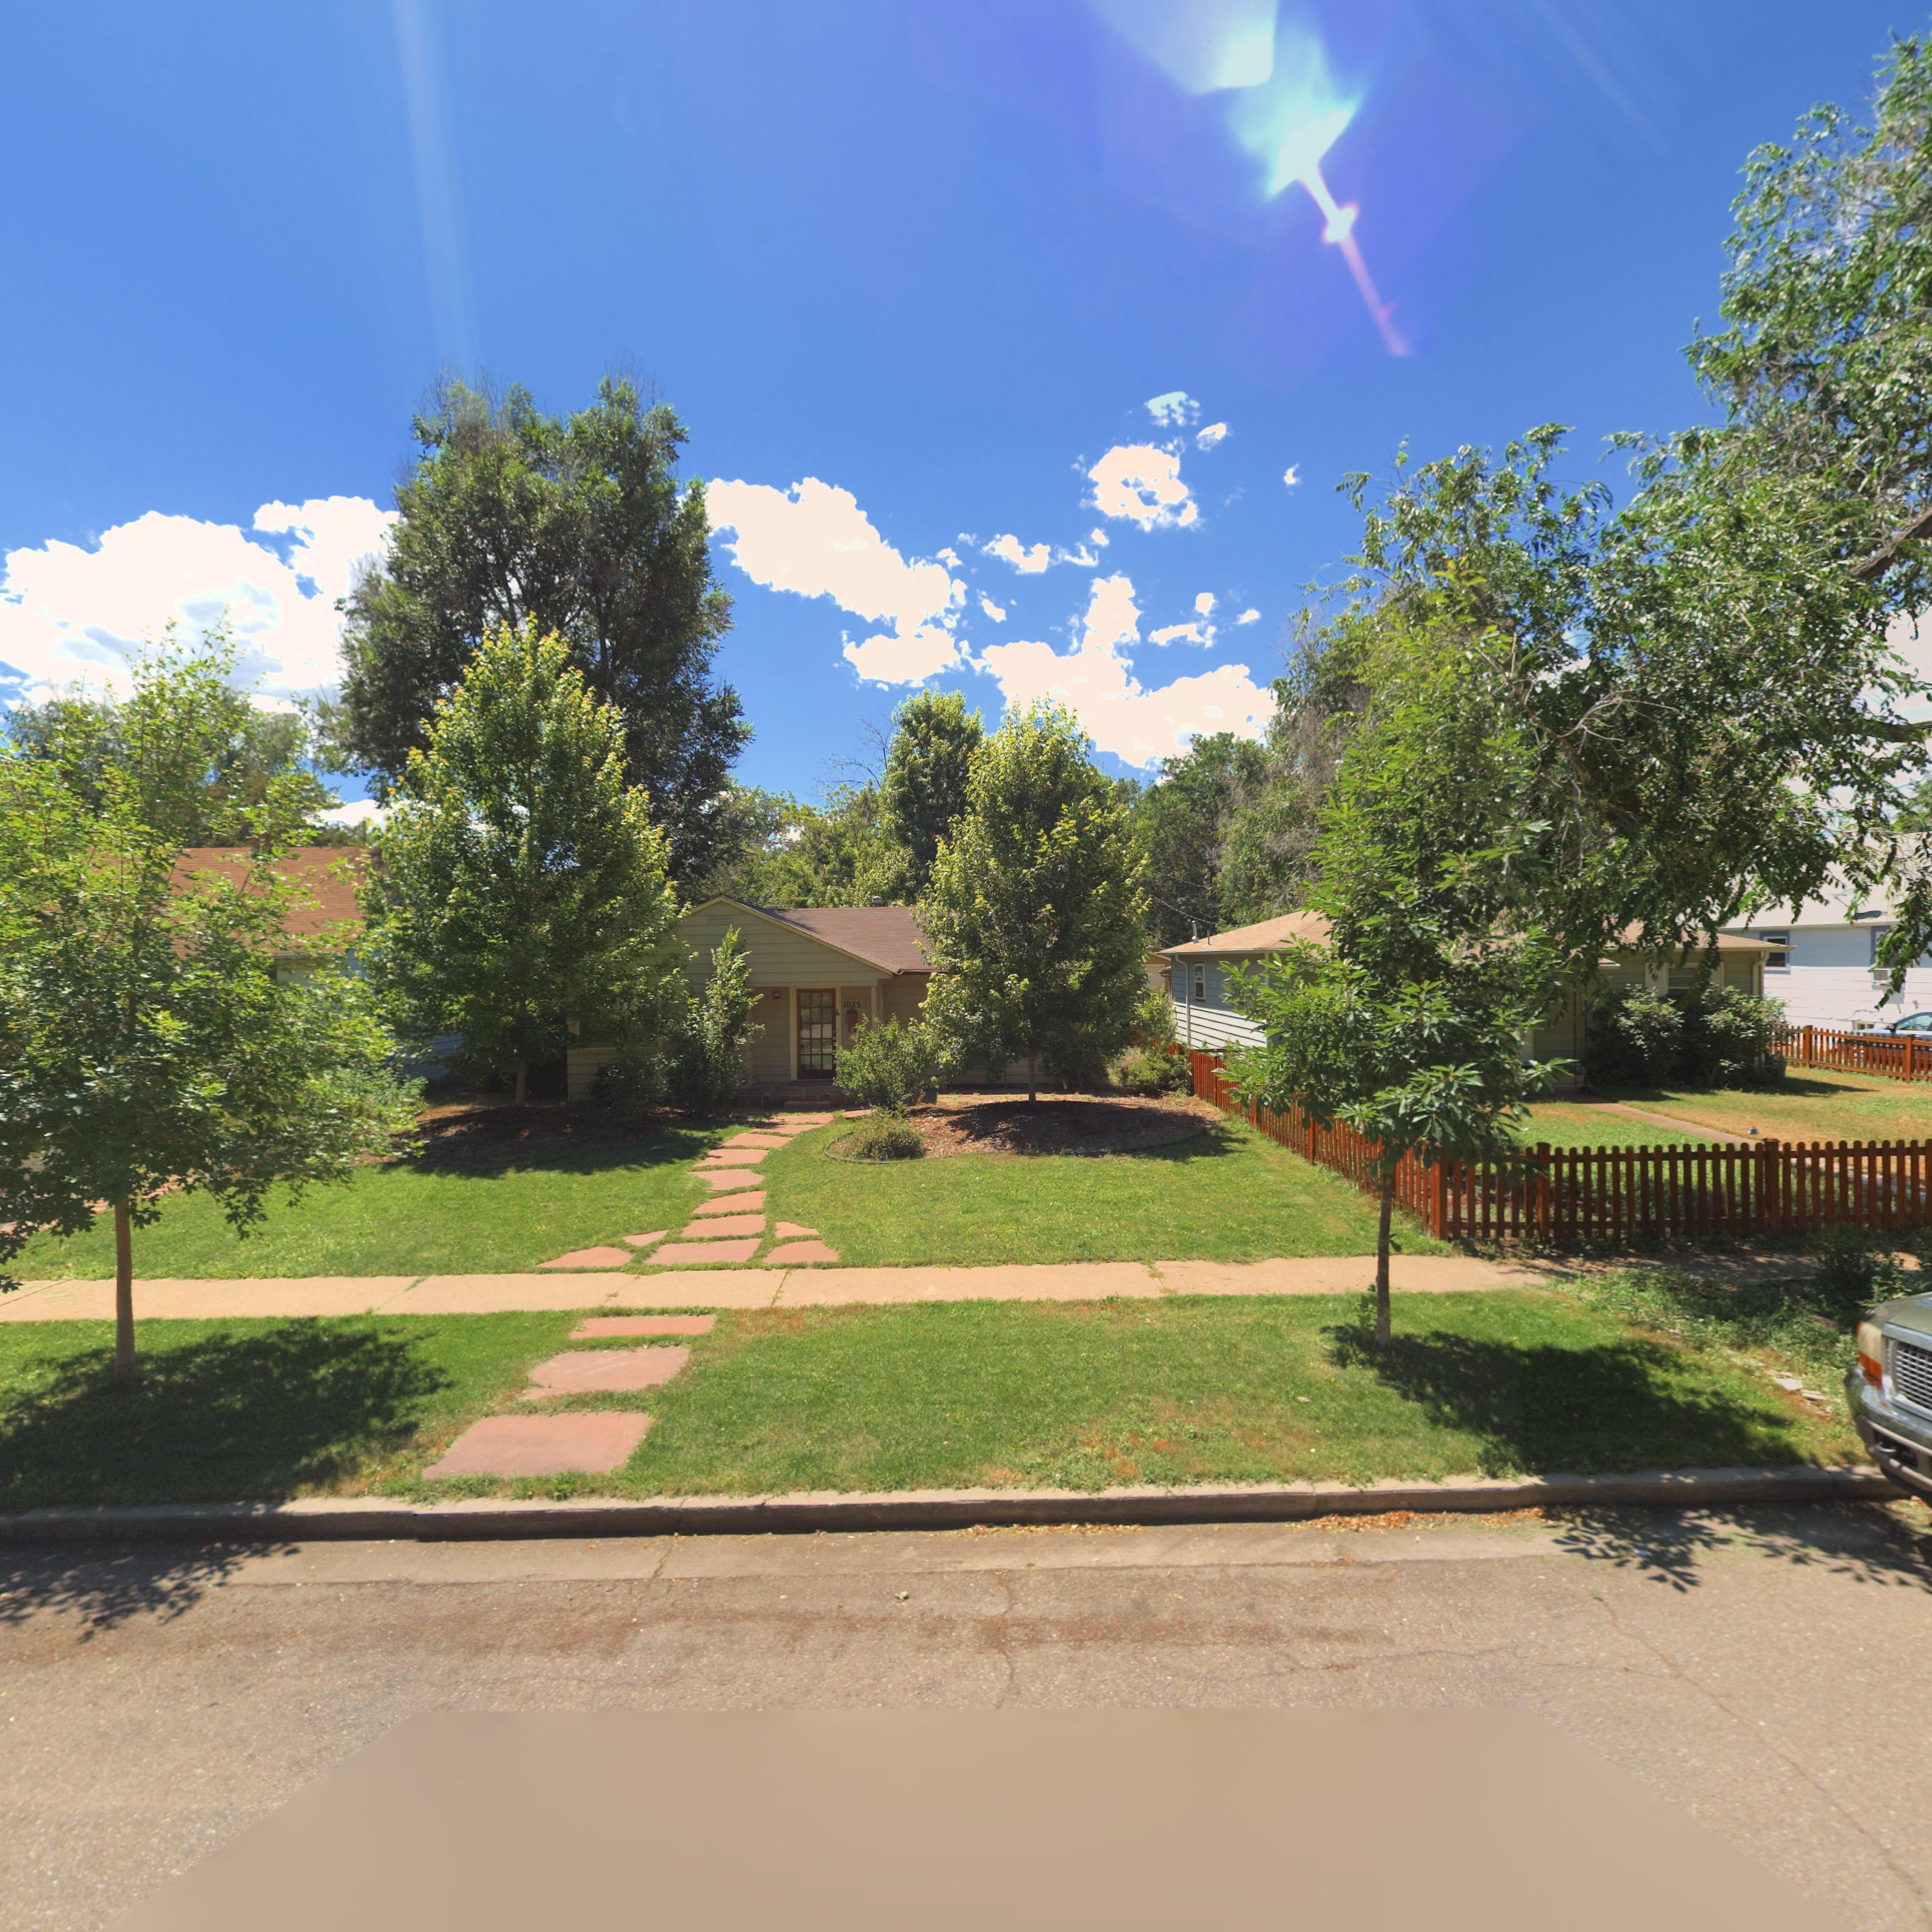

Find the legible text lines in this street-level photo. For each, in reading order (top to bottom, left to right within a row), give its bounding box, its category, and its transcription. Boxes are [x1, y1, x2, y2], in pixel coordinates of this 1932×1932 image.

[843, 1001, 860, 1008] StreetNumber: 1025